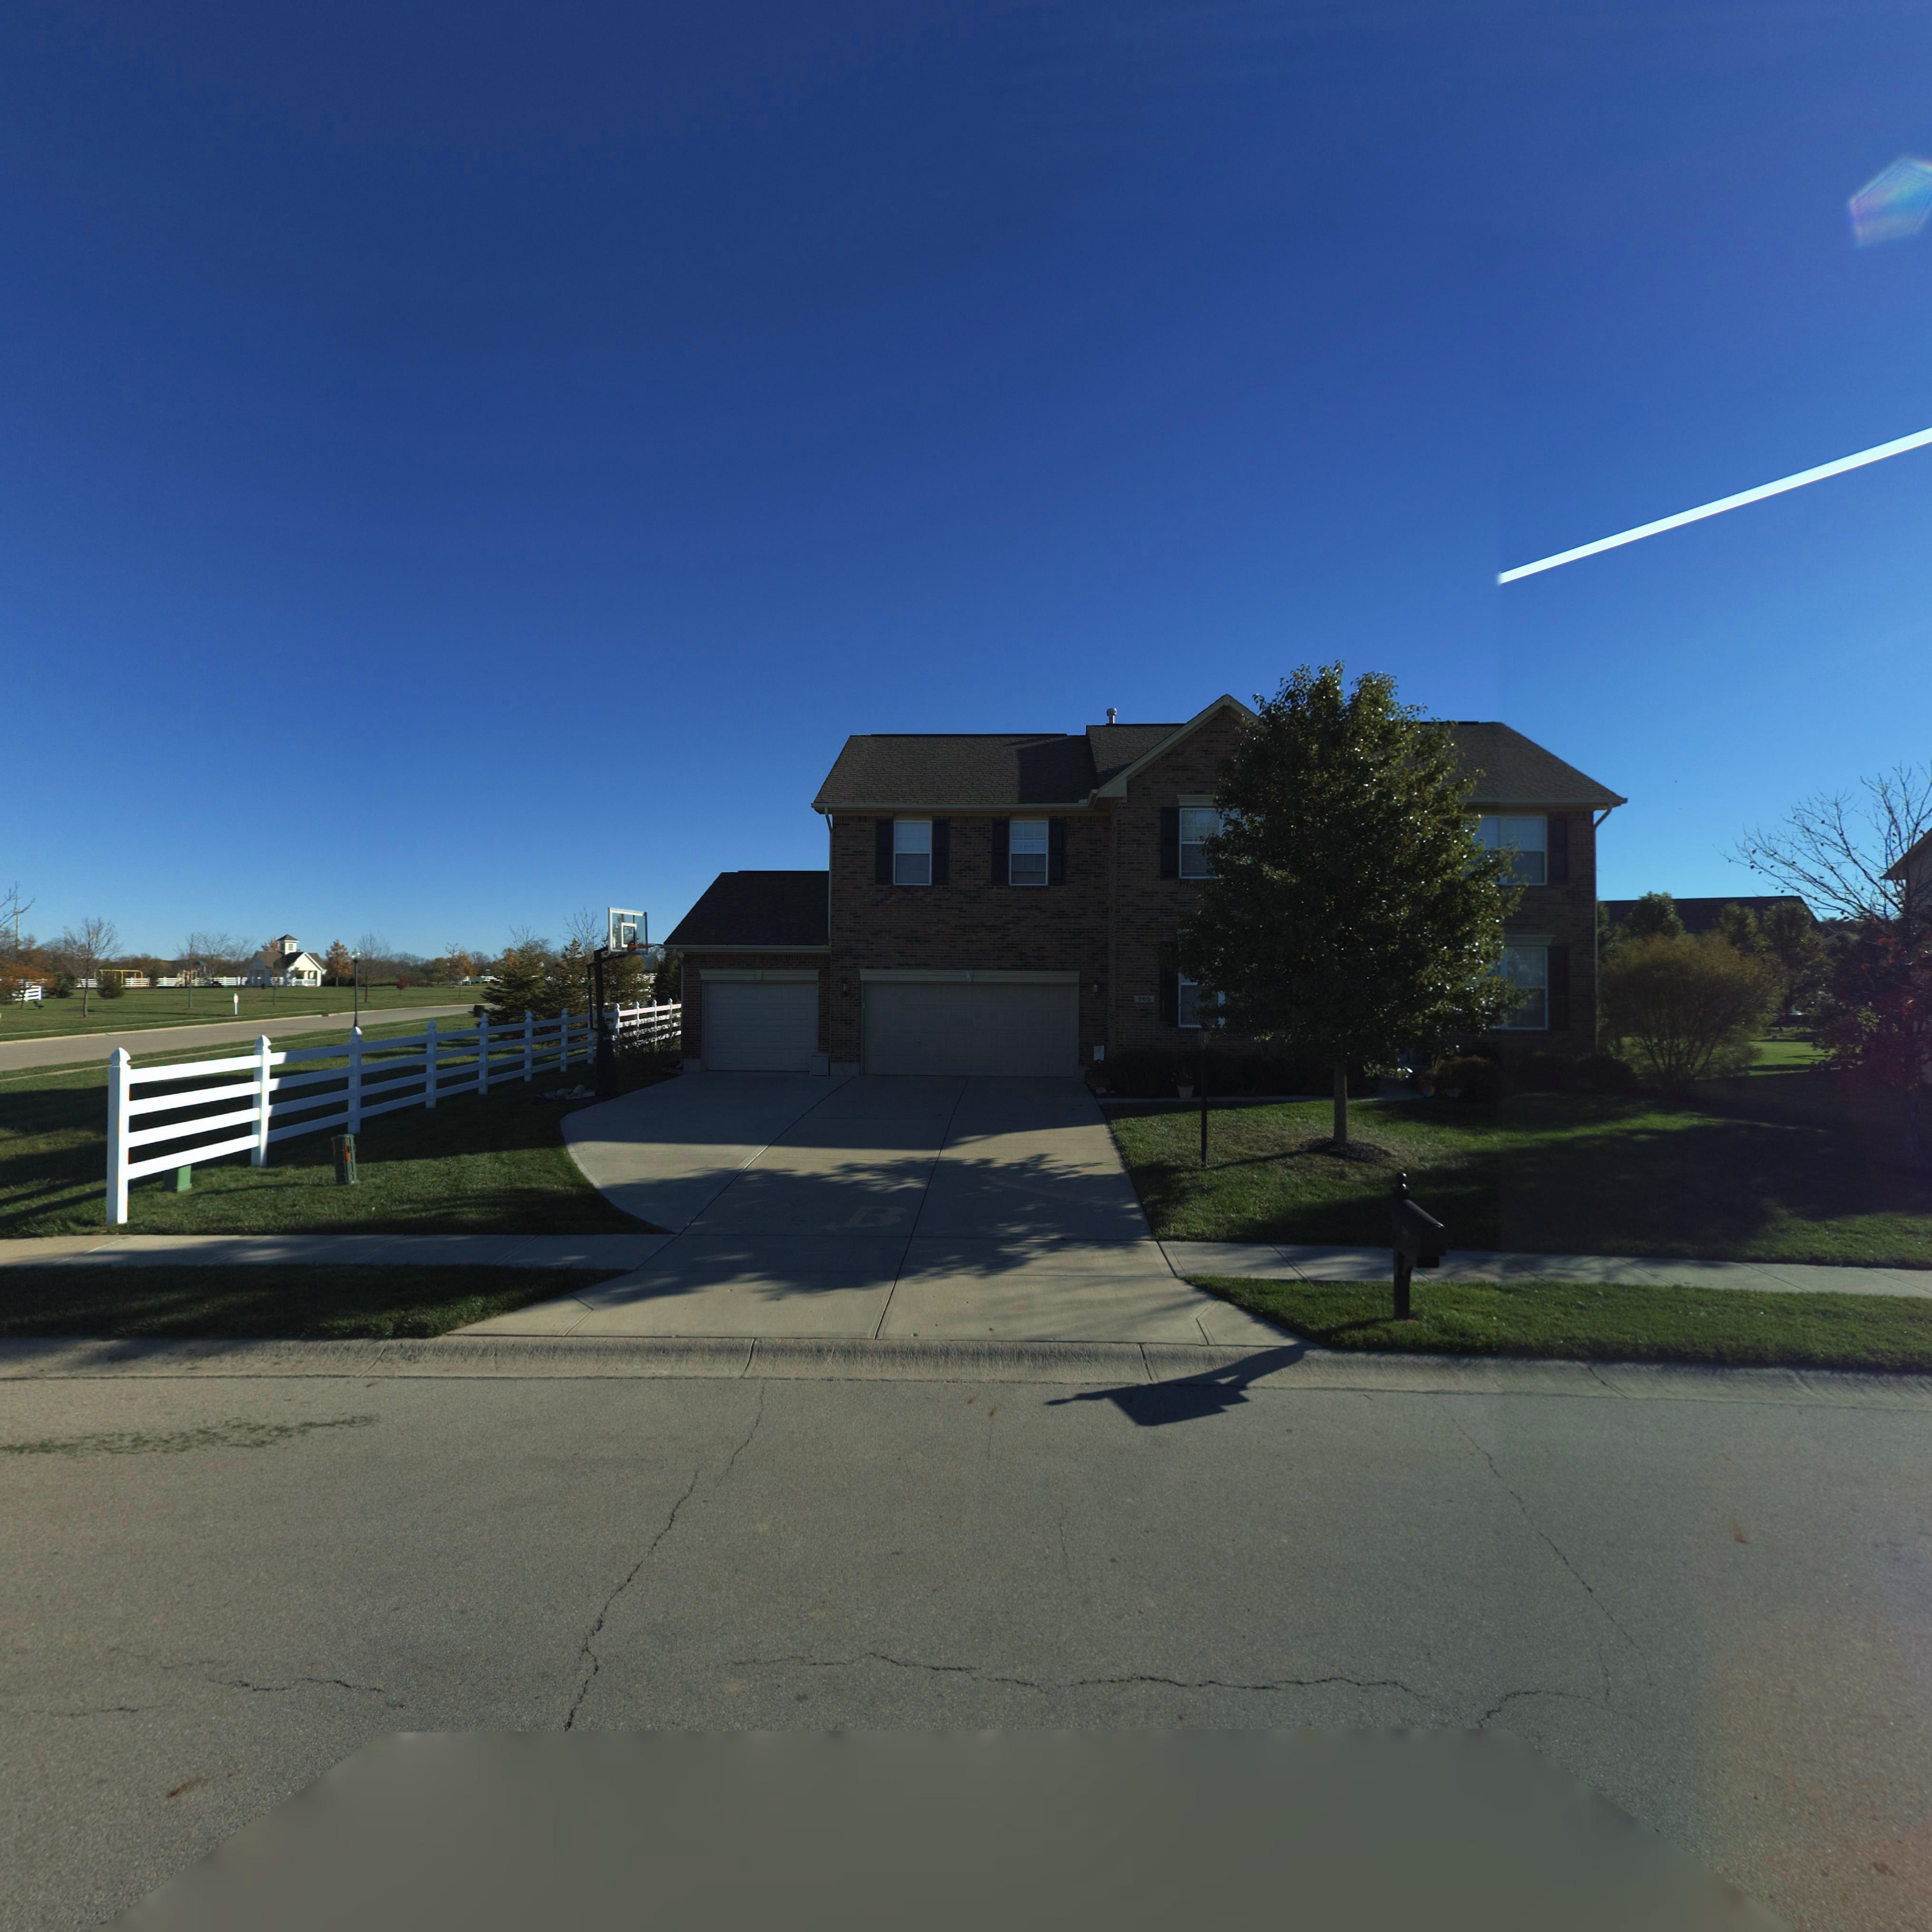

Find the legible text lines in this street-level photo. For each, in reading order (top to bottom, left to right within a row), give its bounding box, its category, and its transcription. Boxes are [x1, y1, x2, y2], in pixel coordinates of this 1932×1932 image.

[1137, 996, 1151, 1002] StreetNumber: 205